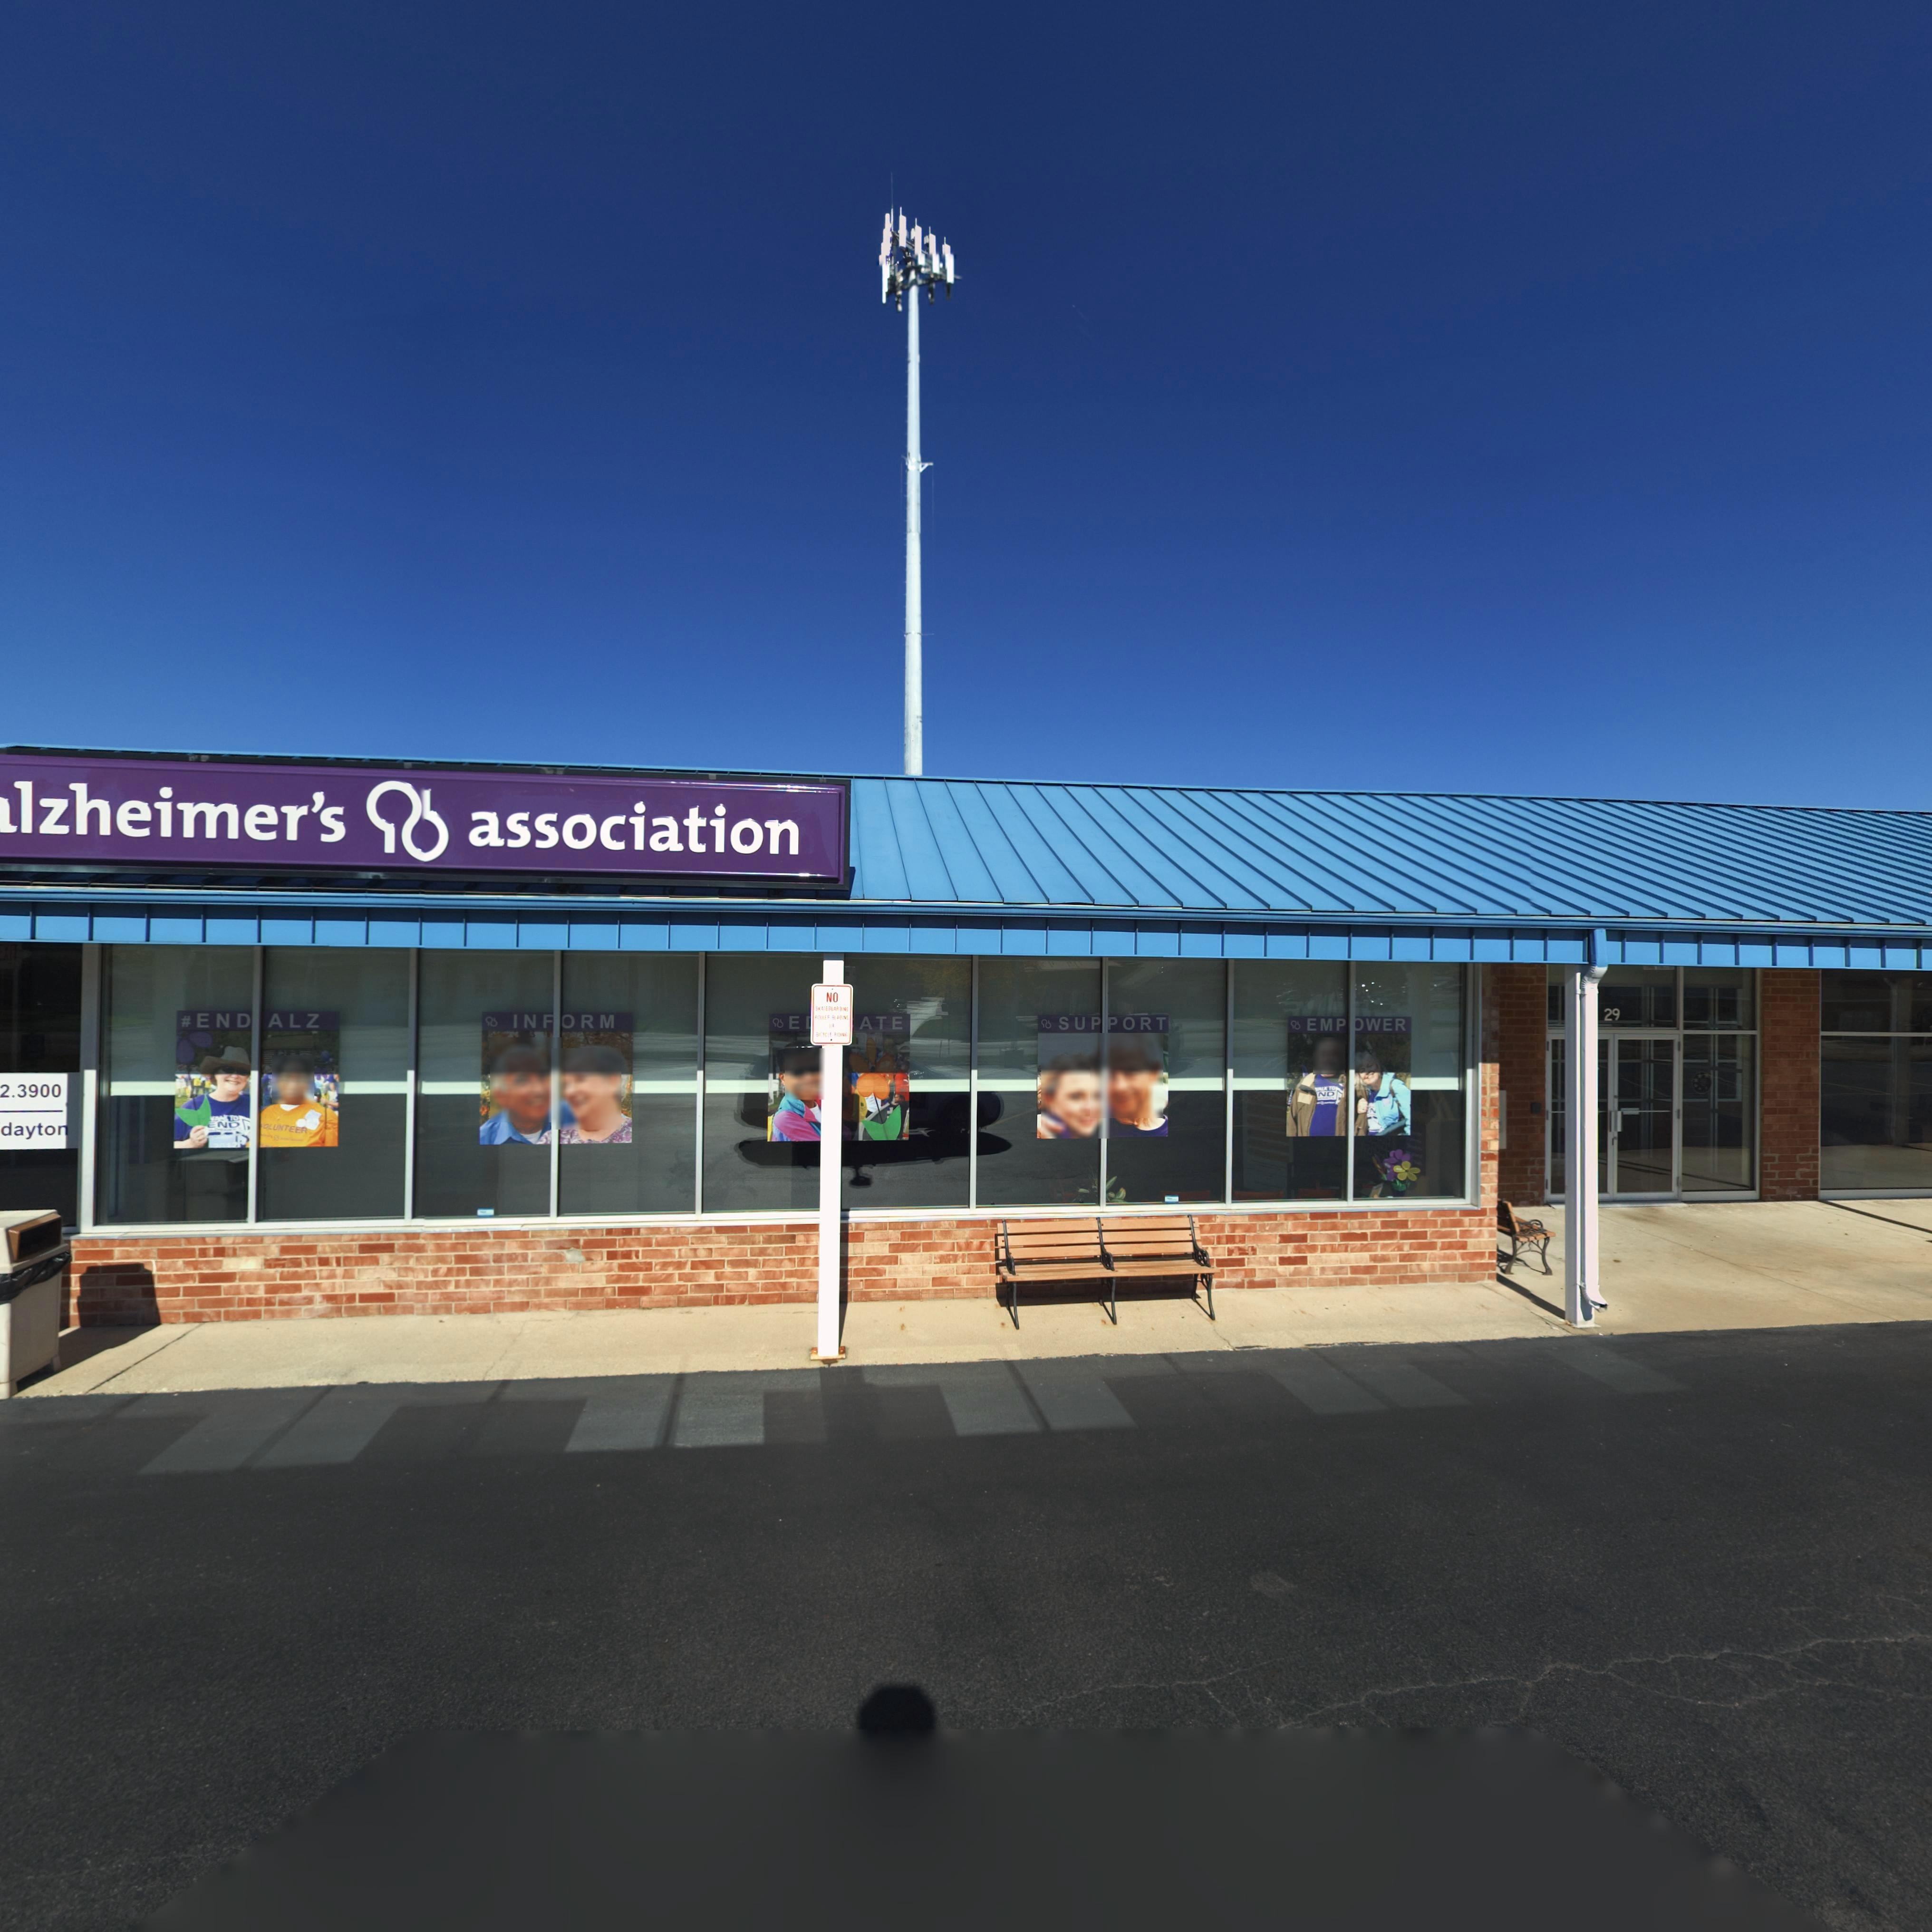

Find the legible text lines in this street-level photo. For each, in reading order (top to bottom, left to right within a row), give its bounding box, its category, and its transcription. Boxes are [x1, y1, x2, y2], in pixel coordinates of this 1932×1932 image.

[11, 778, 803, 859] BusinessName: lzheimer's * association
[826, 992, 839, 1003] None: NO
[195, 1012, 320, 1029] None: END*ALZ
[512, 1013, 616, 1030] None: INFORM
[814, 1006, 850, 1013] None: SKATEBOARDING
[787, 1014, 904, 1031] None: E***ATE
[1057, 1015, 1168, 1032] None: SUPPORT
[1305, 1017, 1407, 1033] None: EMP*WER
[1603, 1007, 1621, 1022] StreetNumber: 29
[814, 1032, 848, 1038] None: BICYCLE RIDING
[0, 1083, 62, 1099] None: 2.3900
[0, 1121, 69, 1140] None: dayton
[206, 1121, 241, 1129] None: END
[228, 1114, 239, 1121] None: TO
[261, 1122, 308, 1135] None: OLUNTEER